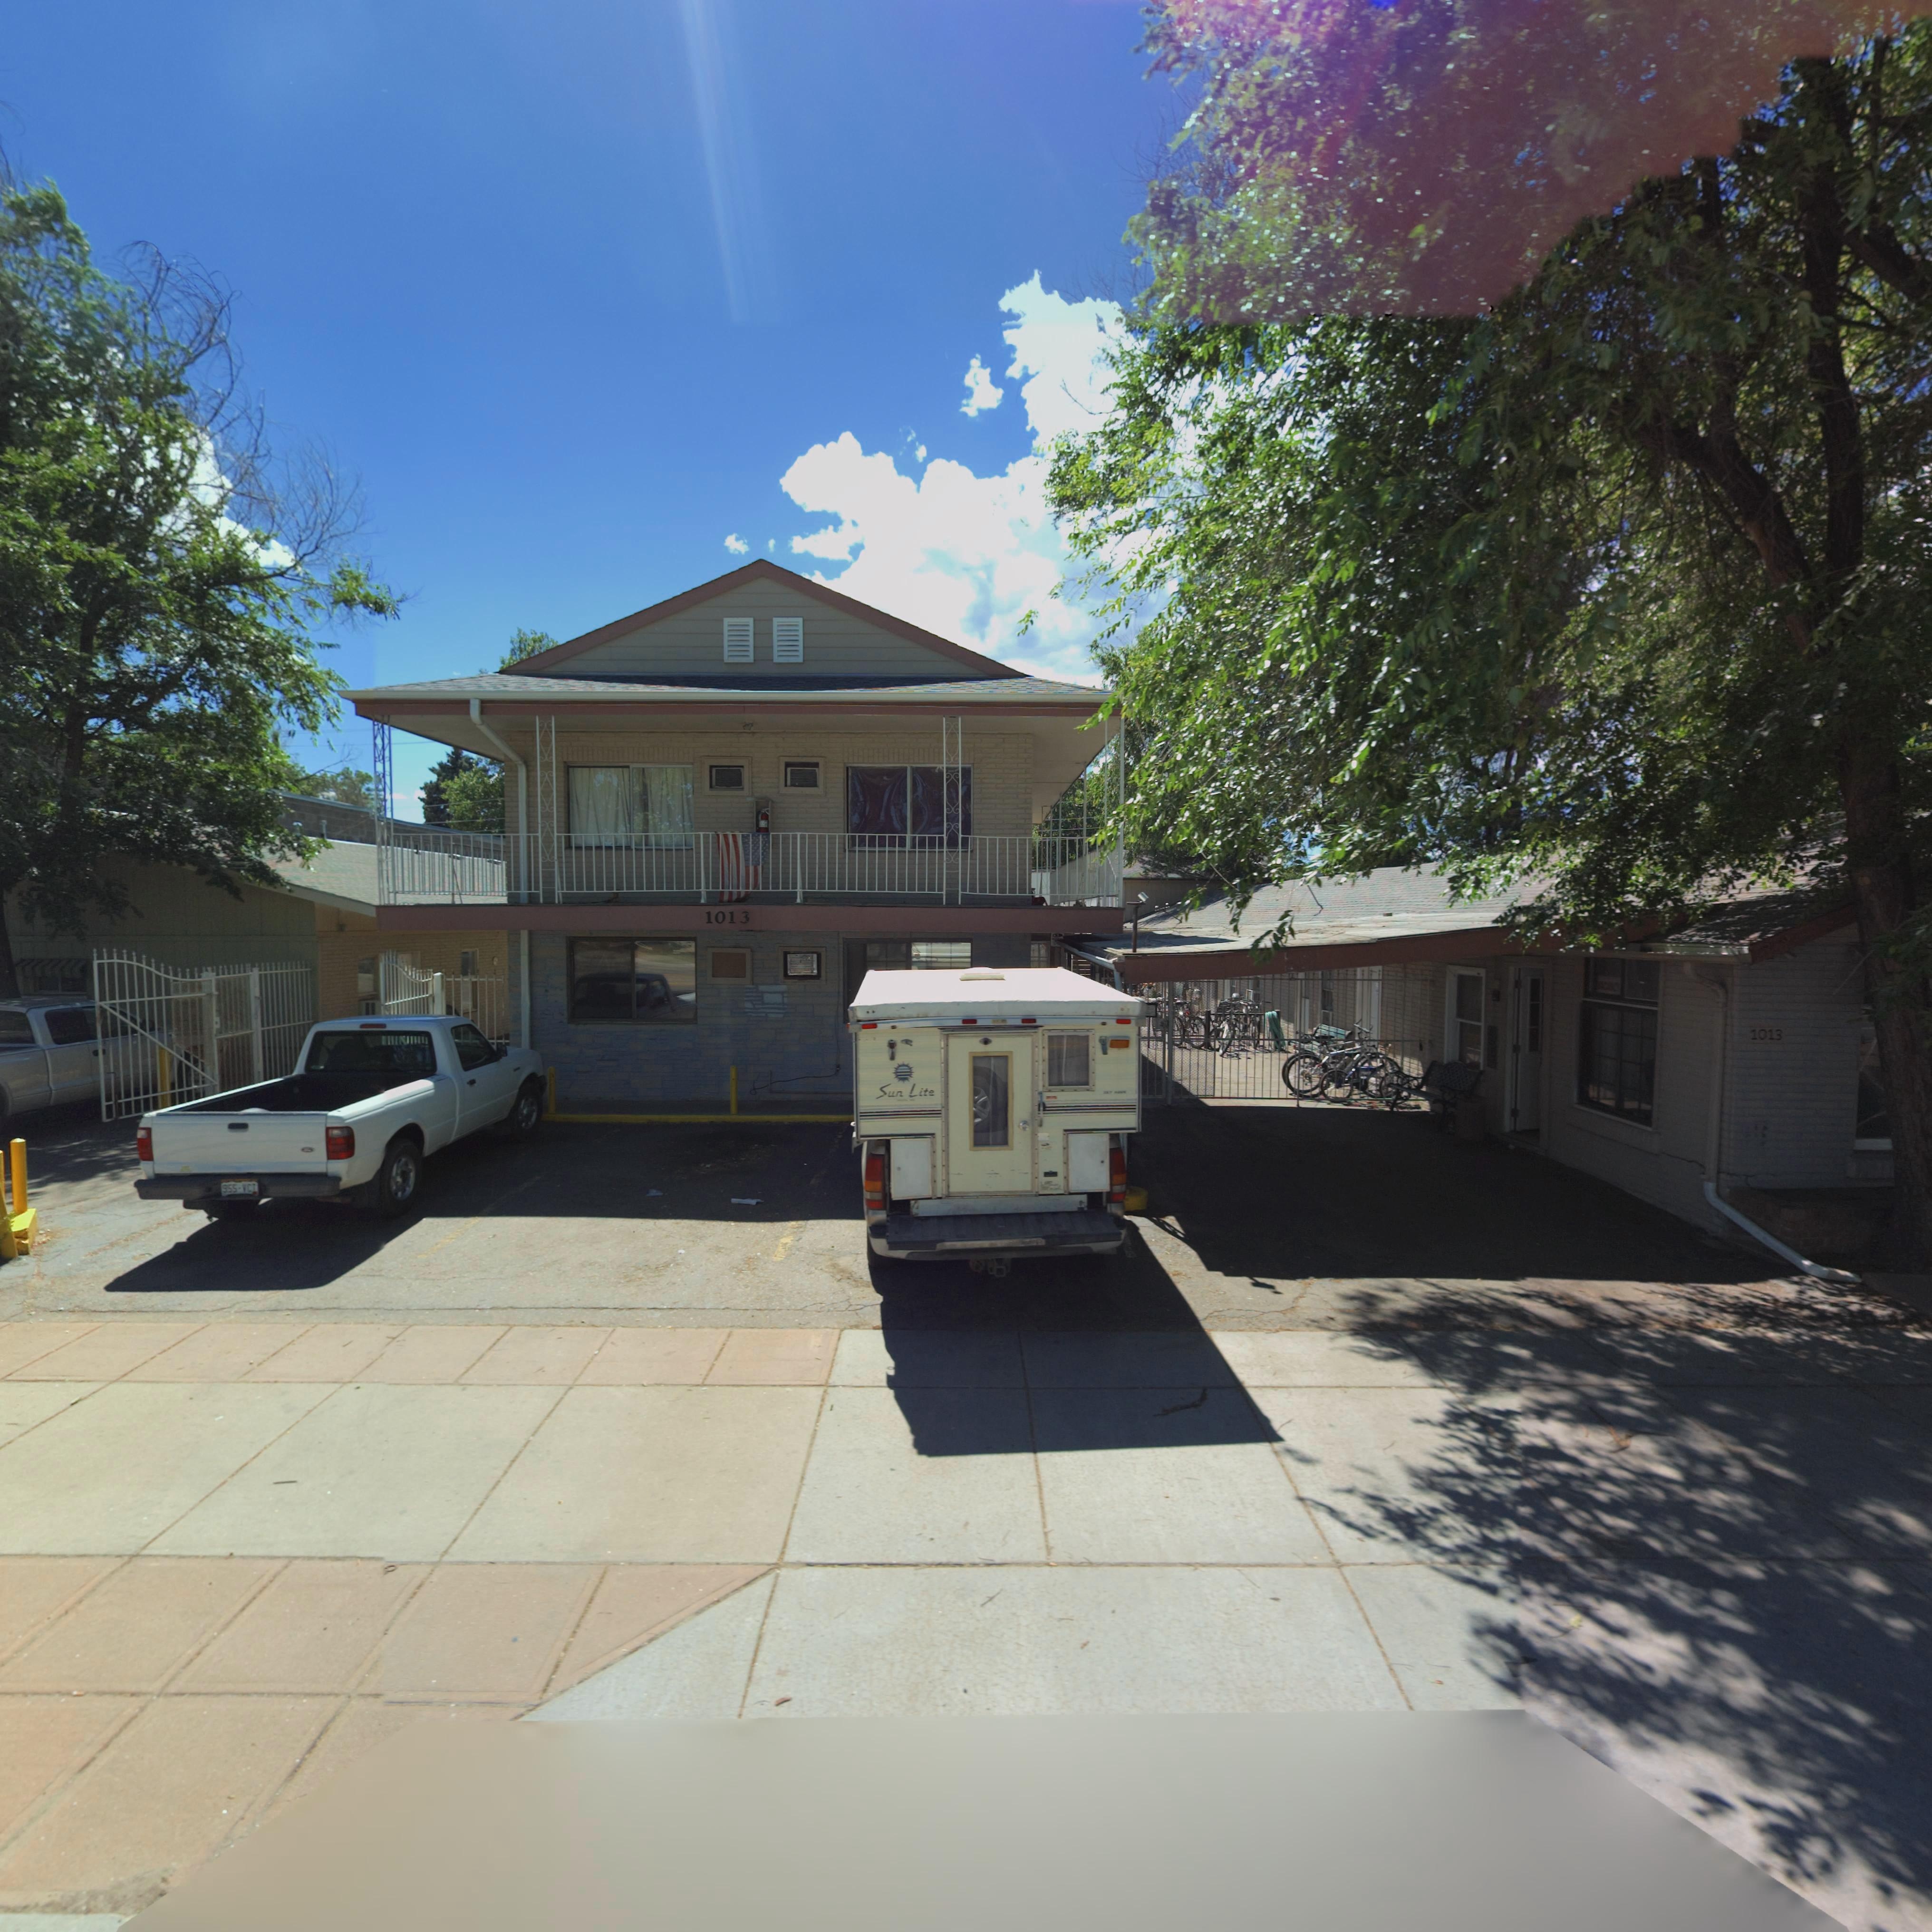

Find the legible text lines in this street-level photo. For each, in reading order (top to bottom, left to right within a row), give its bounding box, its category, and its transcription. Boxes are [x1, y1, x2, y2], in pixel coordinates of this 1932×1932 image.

[705, 910, 750, 924] StreetNumber: 1013
[1751, 1028, 1782, 1041] StreetNumber: 1013